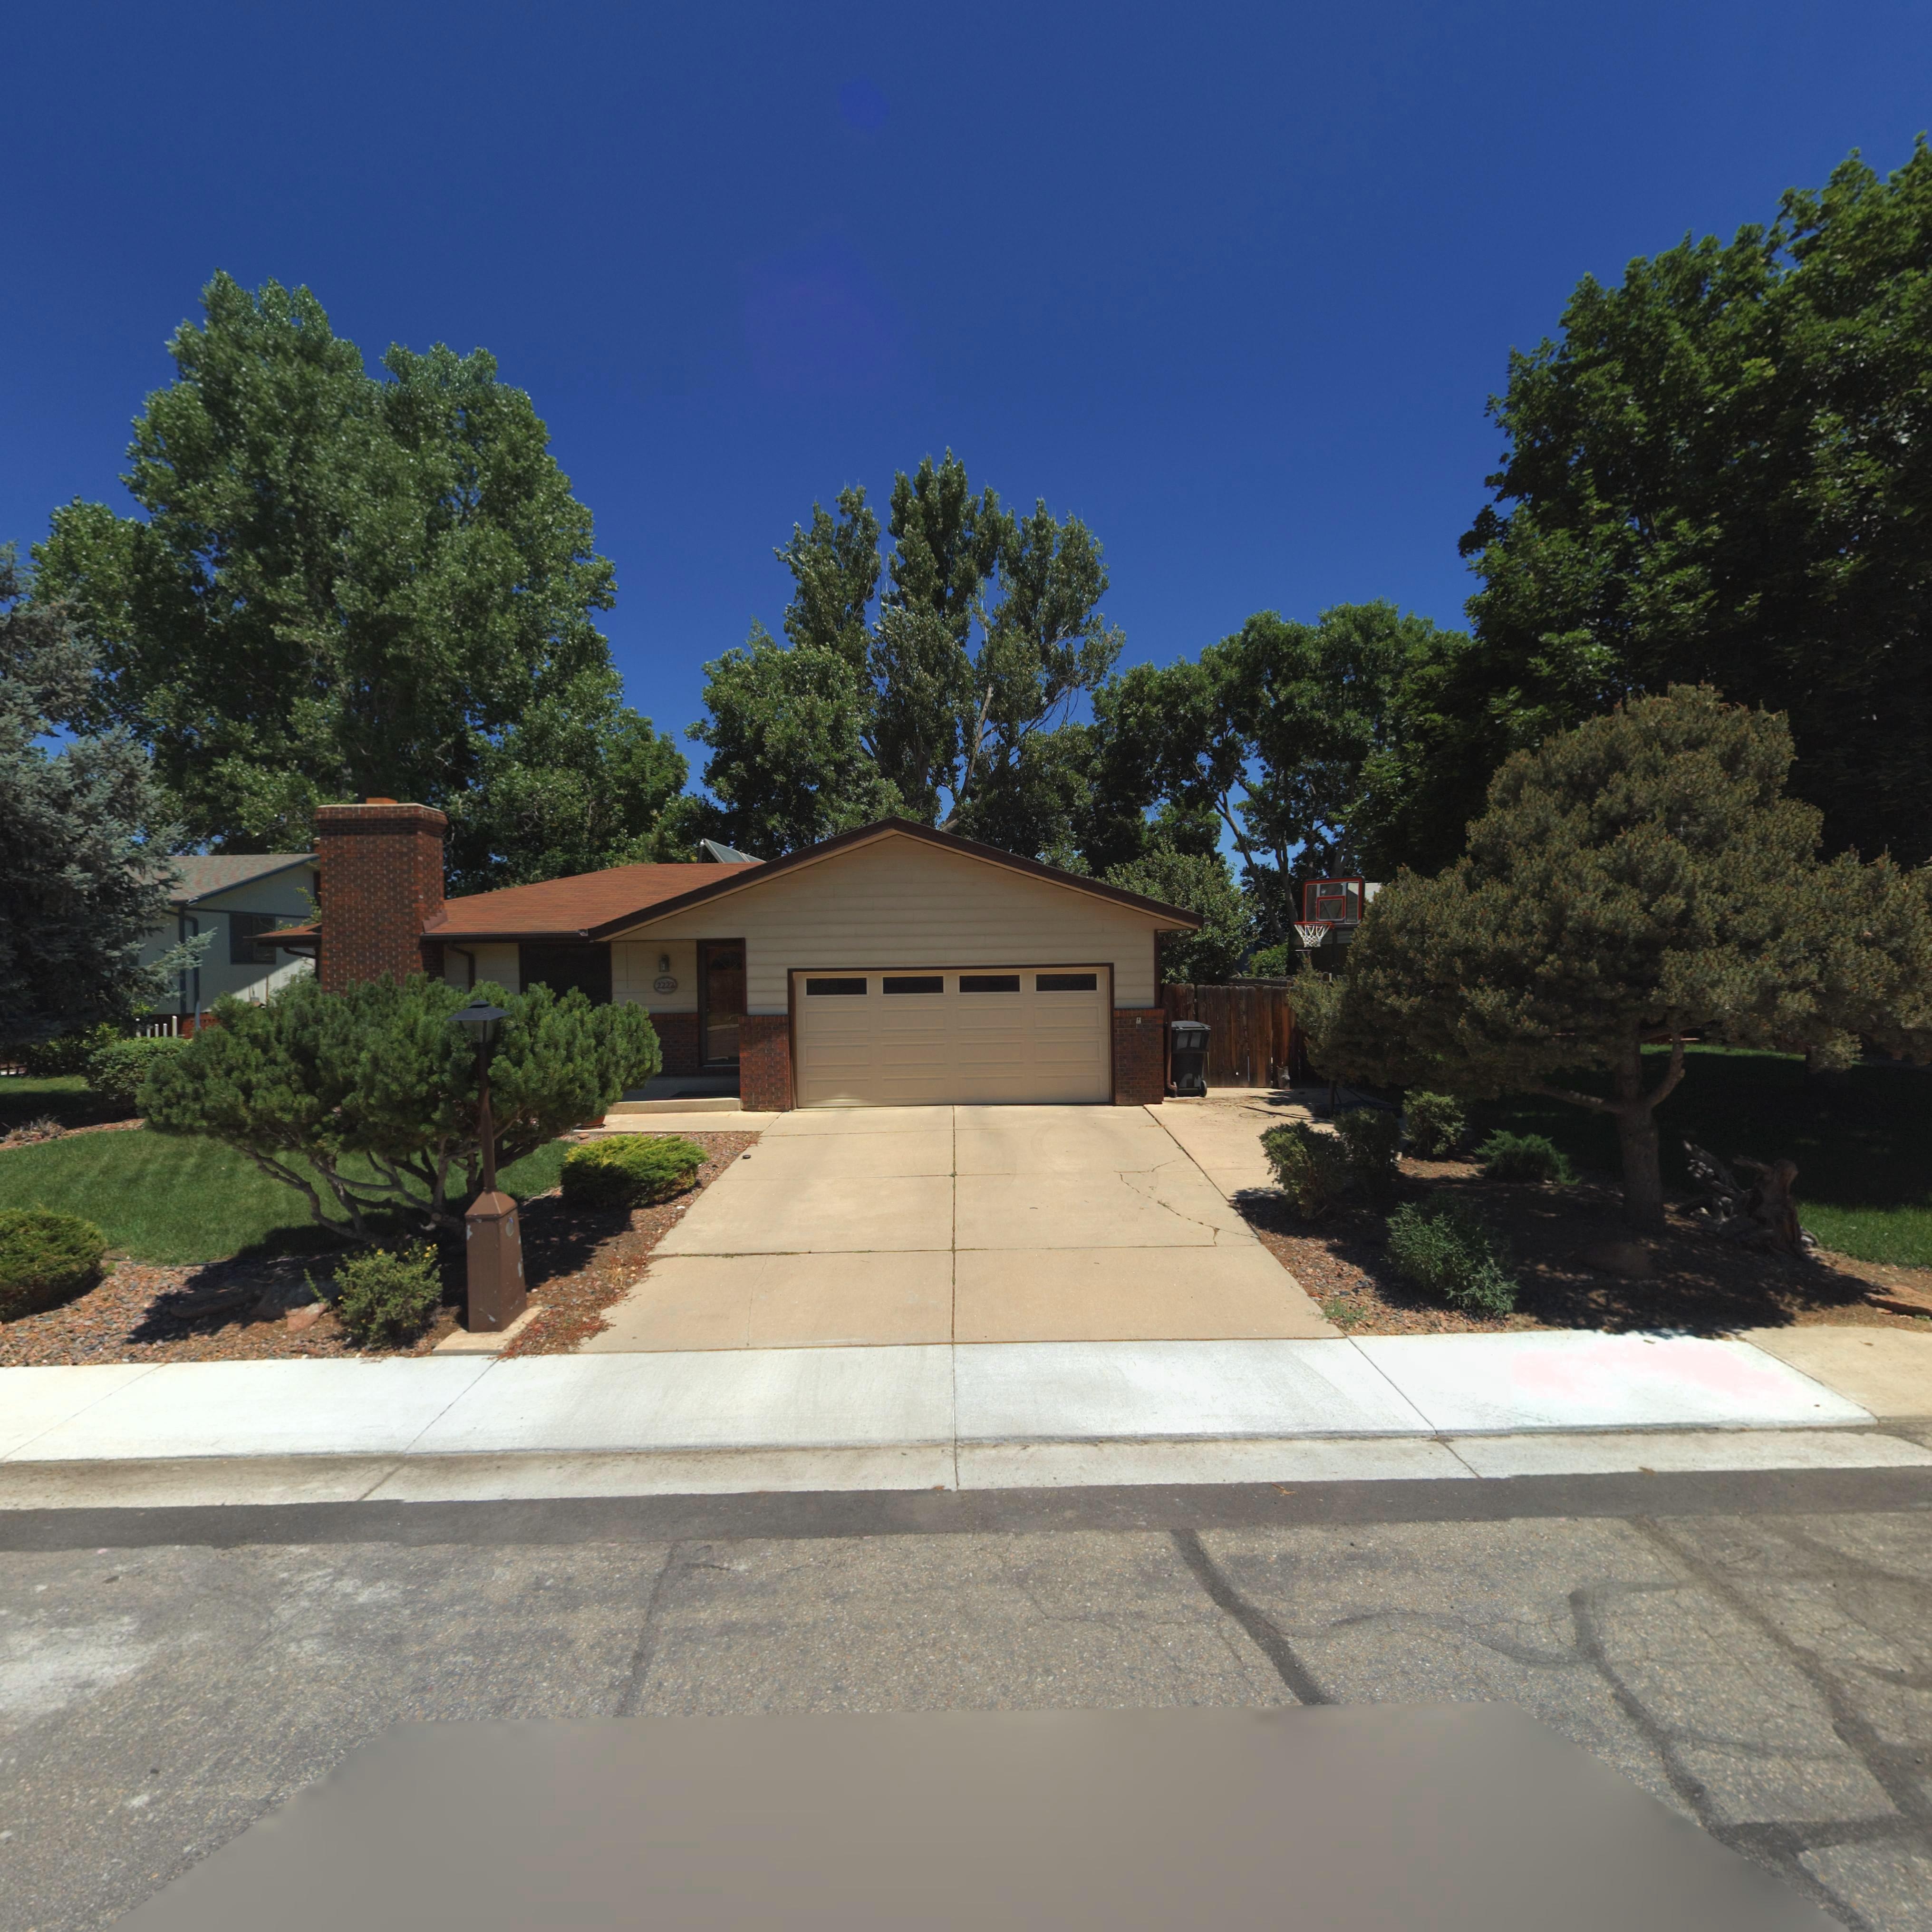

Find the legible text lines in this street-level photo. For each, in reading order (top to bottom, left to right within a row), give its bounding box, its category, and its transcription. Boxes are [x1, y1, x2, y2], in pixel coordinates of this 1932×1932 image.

[657, 981, 676, 988] StreetNumber: 2222